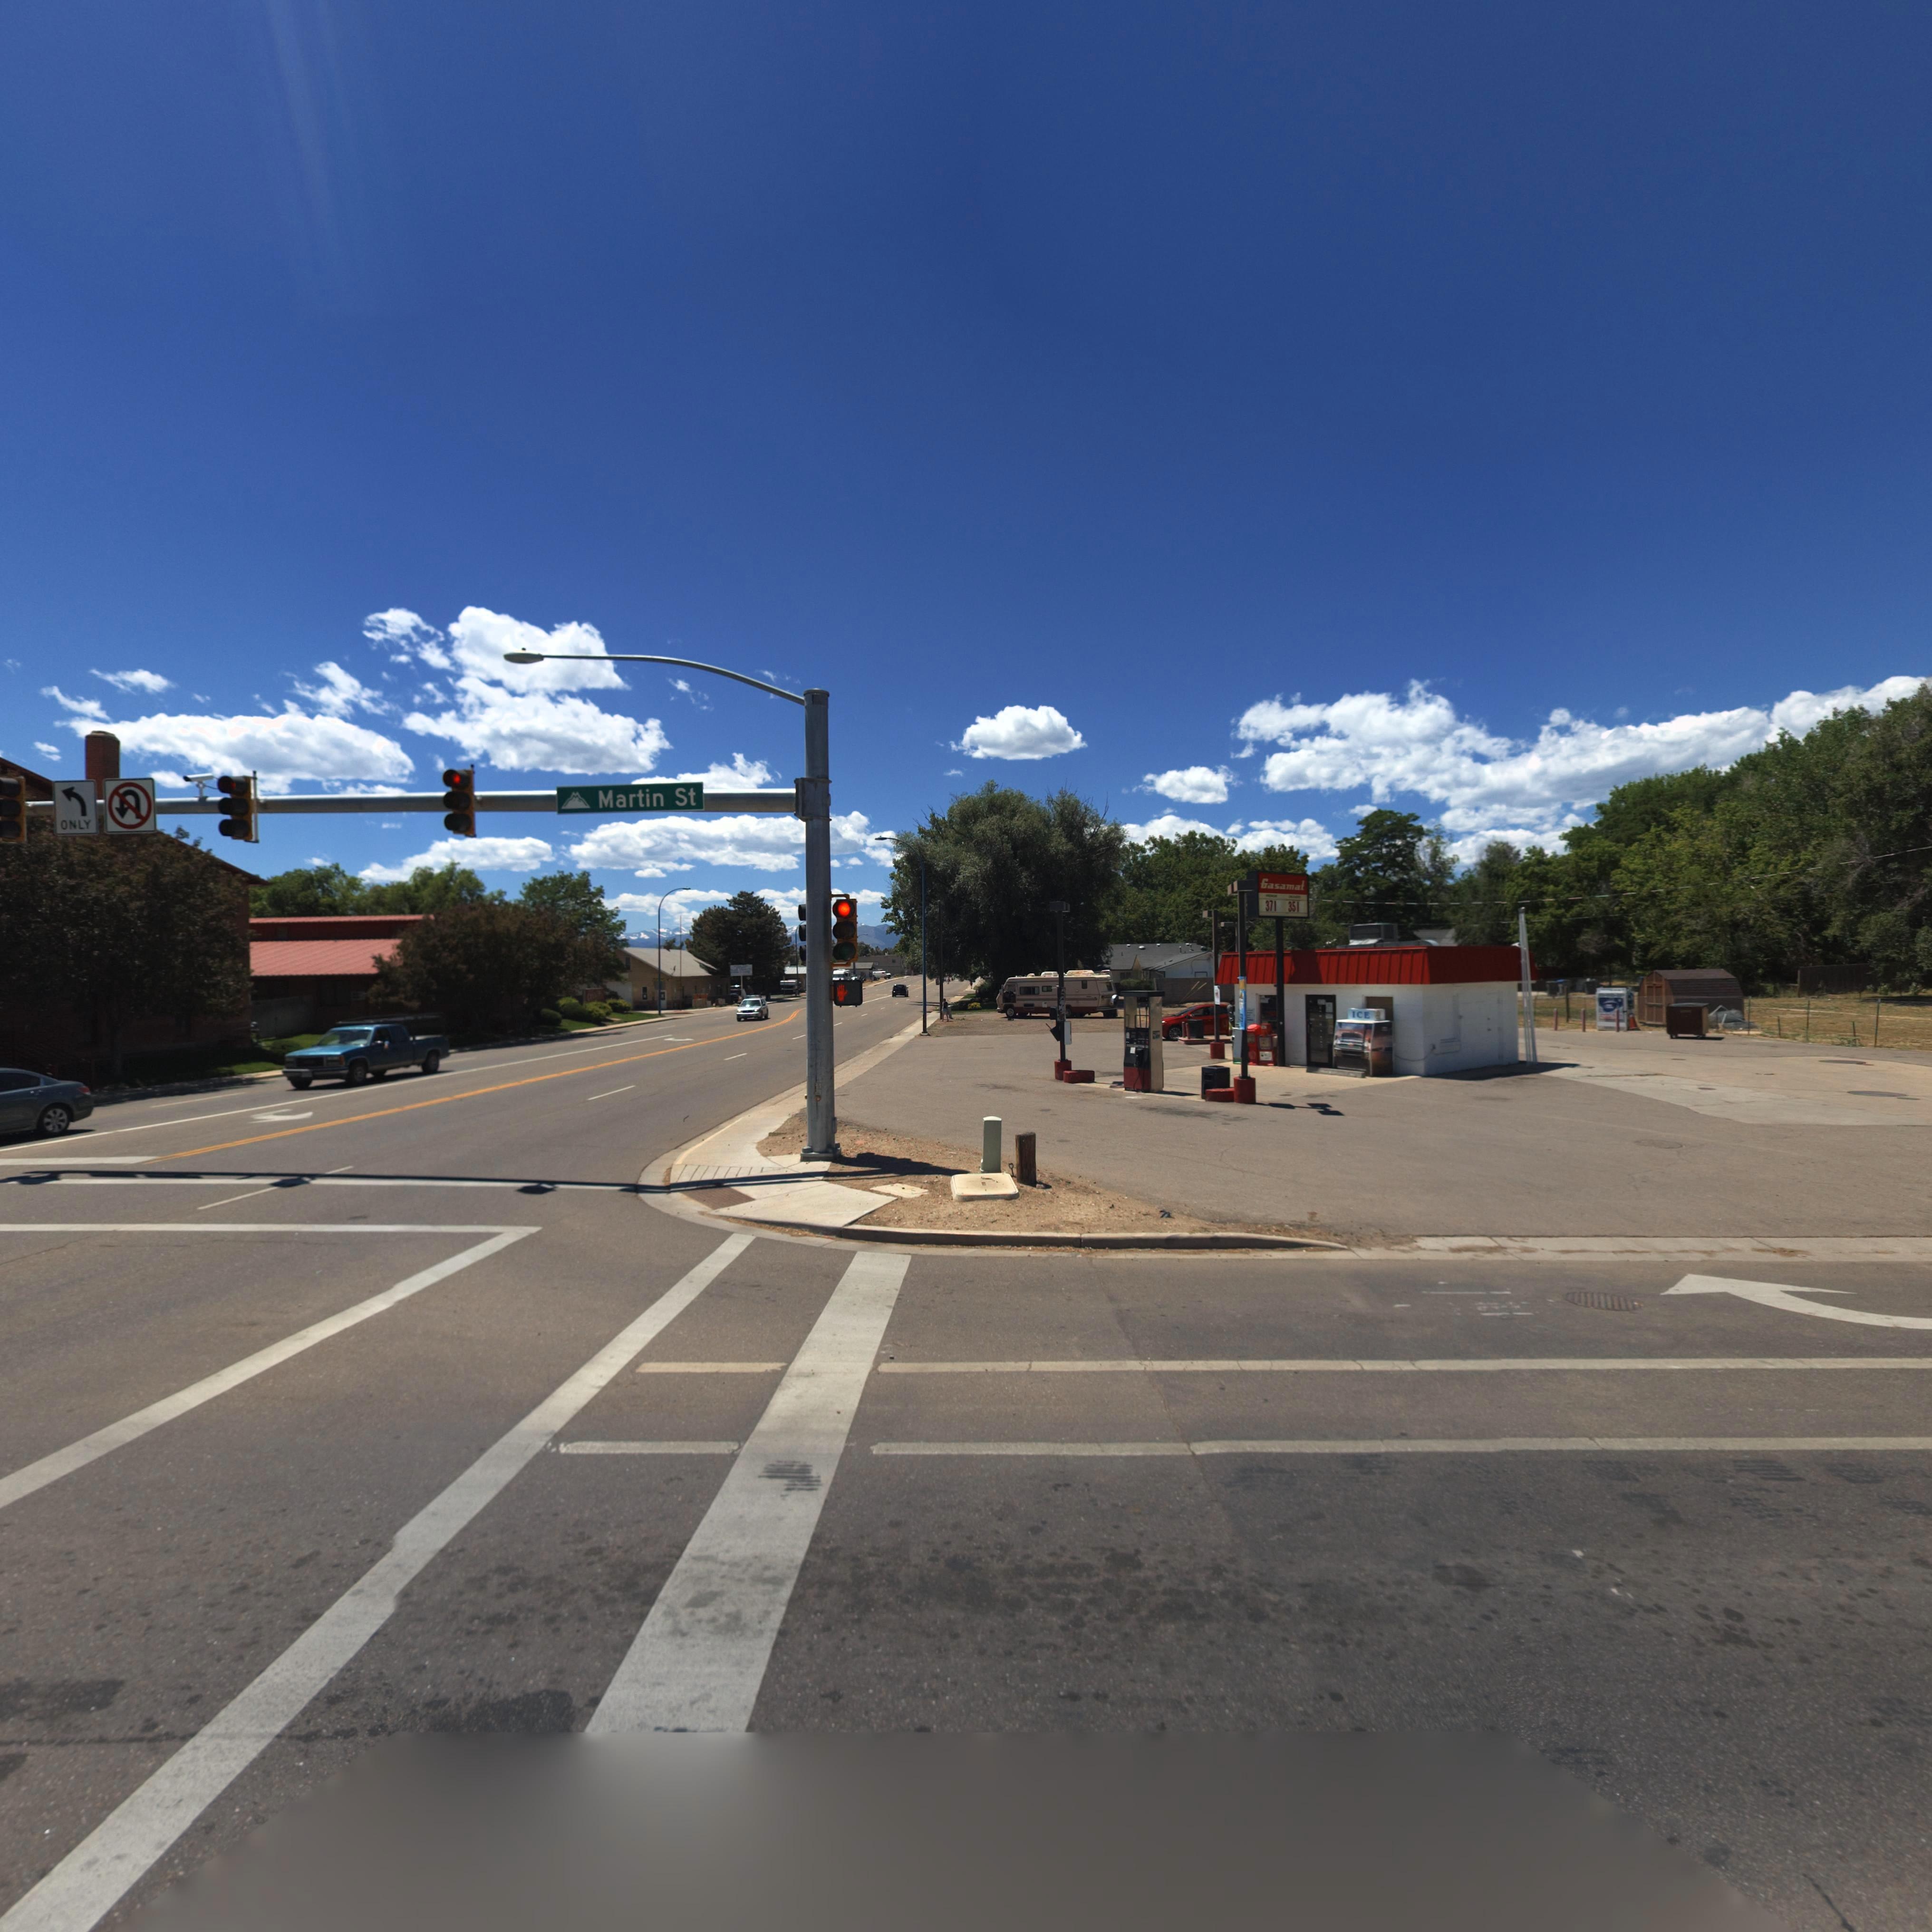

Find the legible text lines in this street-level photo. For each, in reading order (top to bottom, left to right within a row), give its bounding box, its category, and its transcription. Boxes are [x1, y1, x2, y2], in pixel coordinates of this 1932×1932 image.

[598, 787, 696, 809] StreetName: Martin St
[1260, 878, 1305, 890] BusinessName: Gasamat